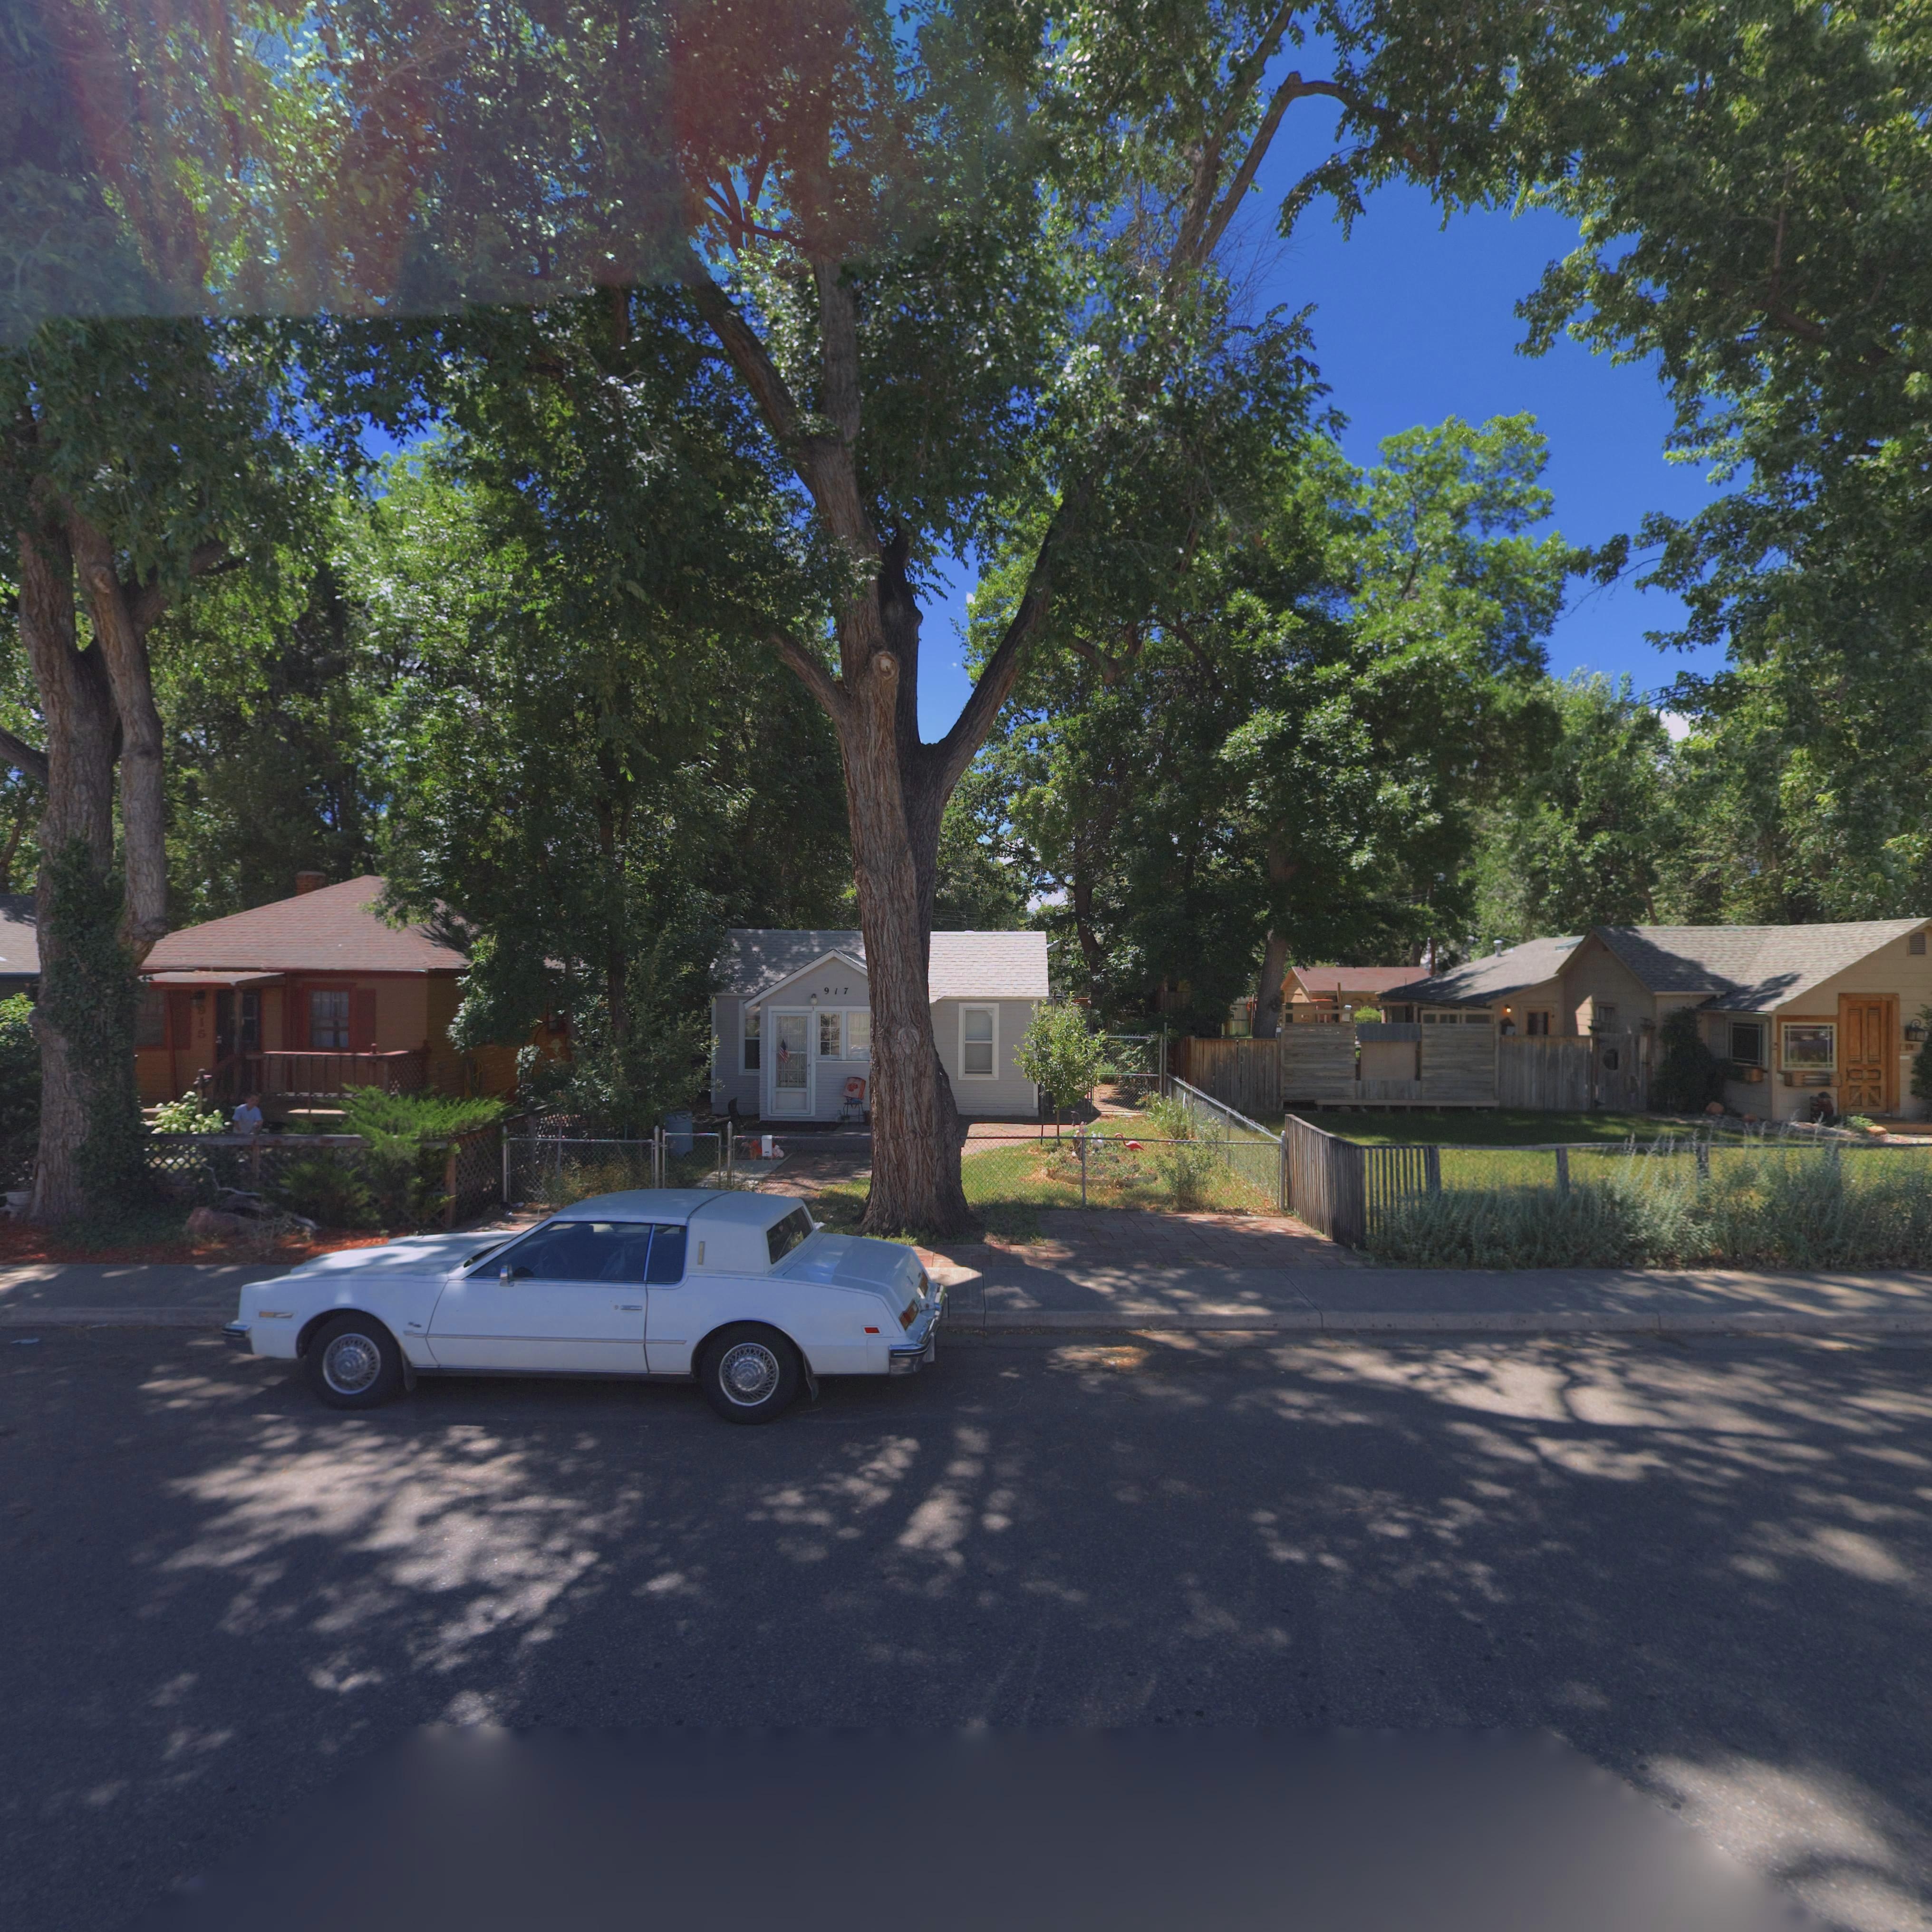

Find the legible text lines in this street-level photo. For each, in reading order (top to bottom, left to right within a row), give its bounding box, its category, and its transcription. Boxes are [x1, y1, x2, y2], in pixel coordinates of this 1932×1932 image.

[824, 987, 849, 995] StreetNumber: 917
[197, 1004, 206, 1039] StreetNumber: 915